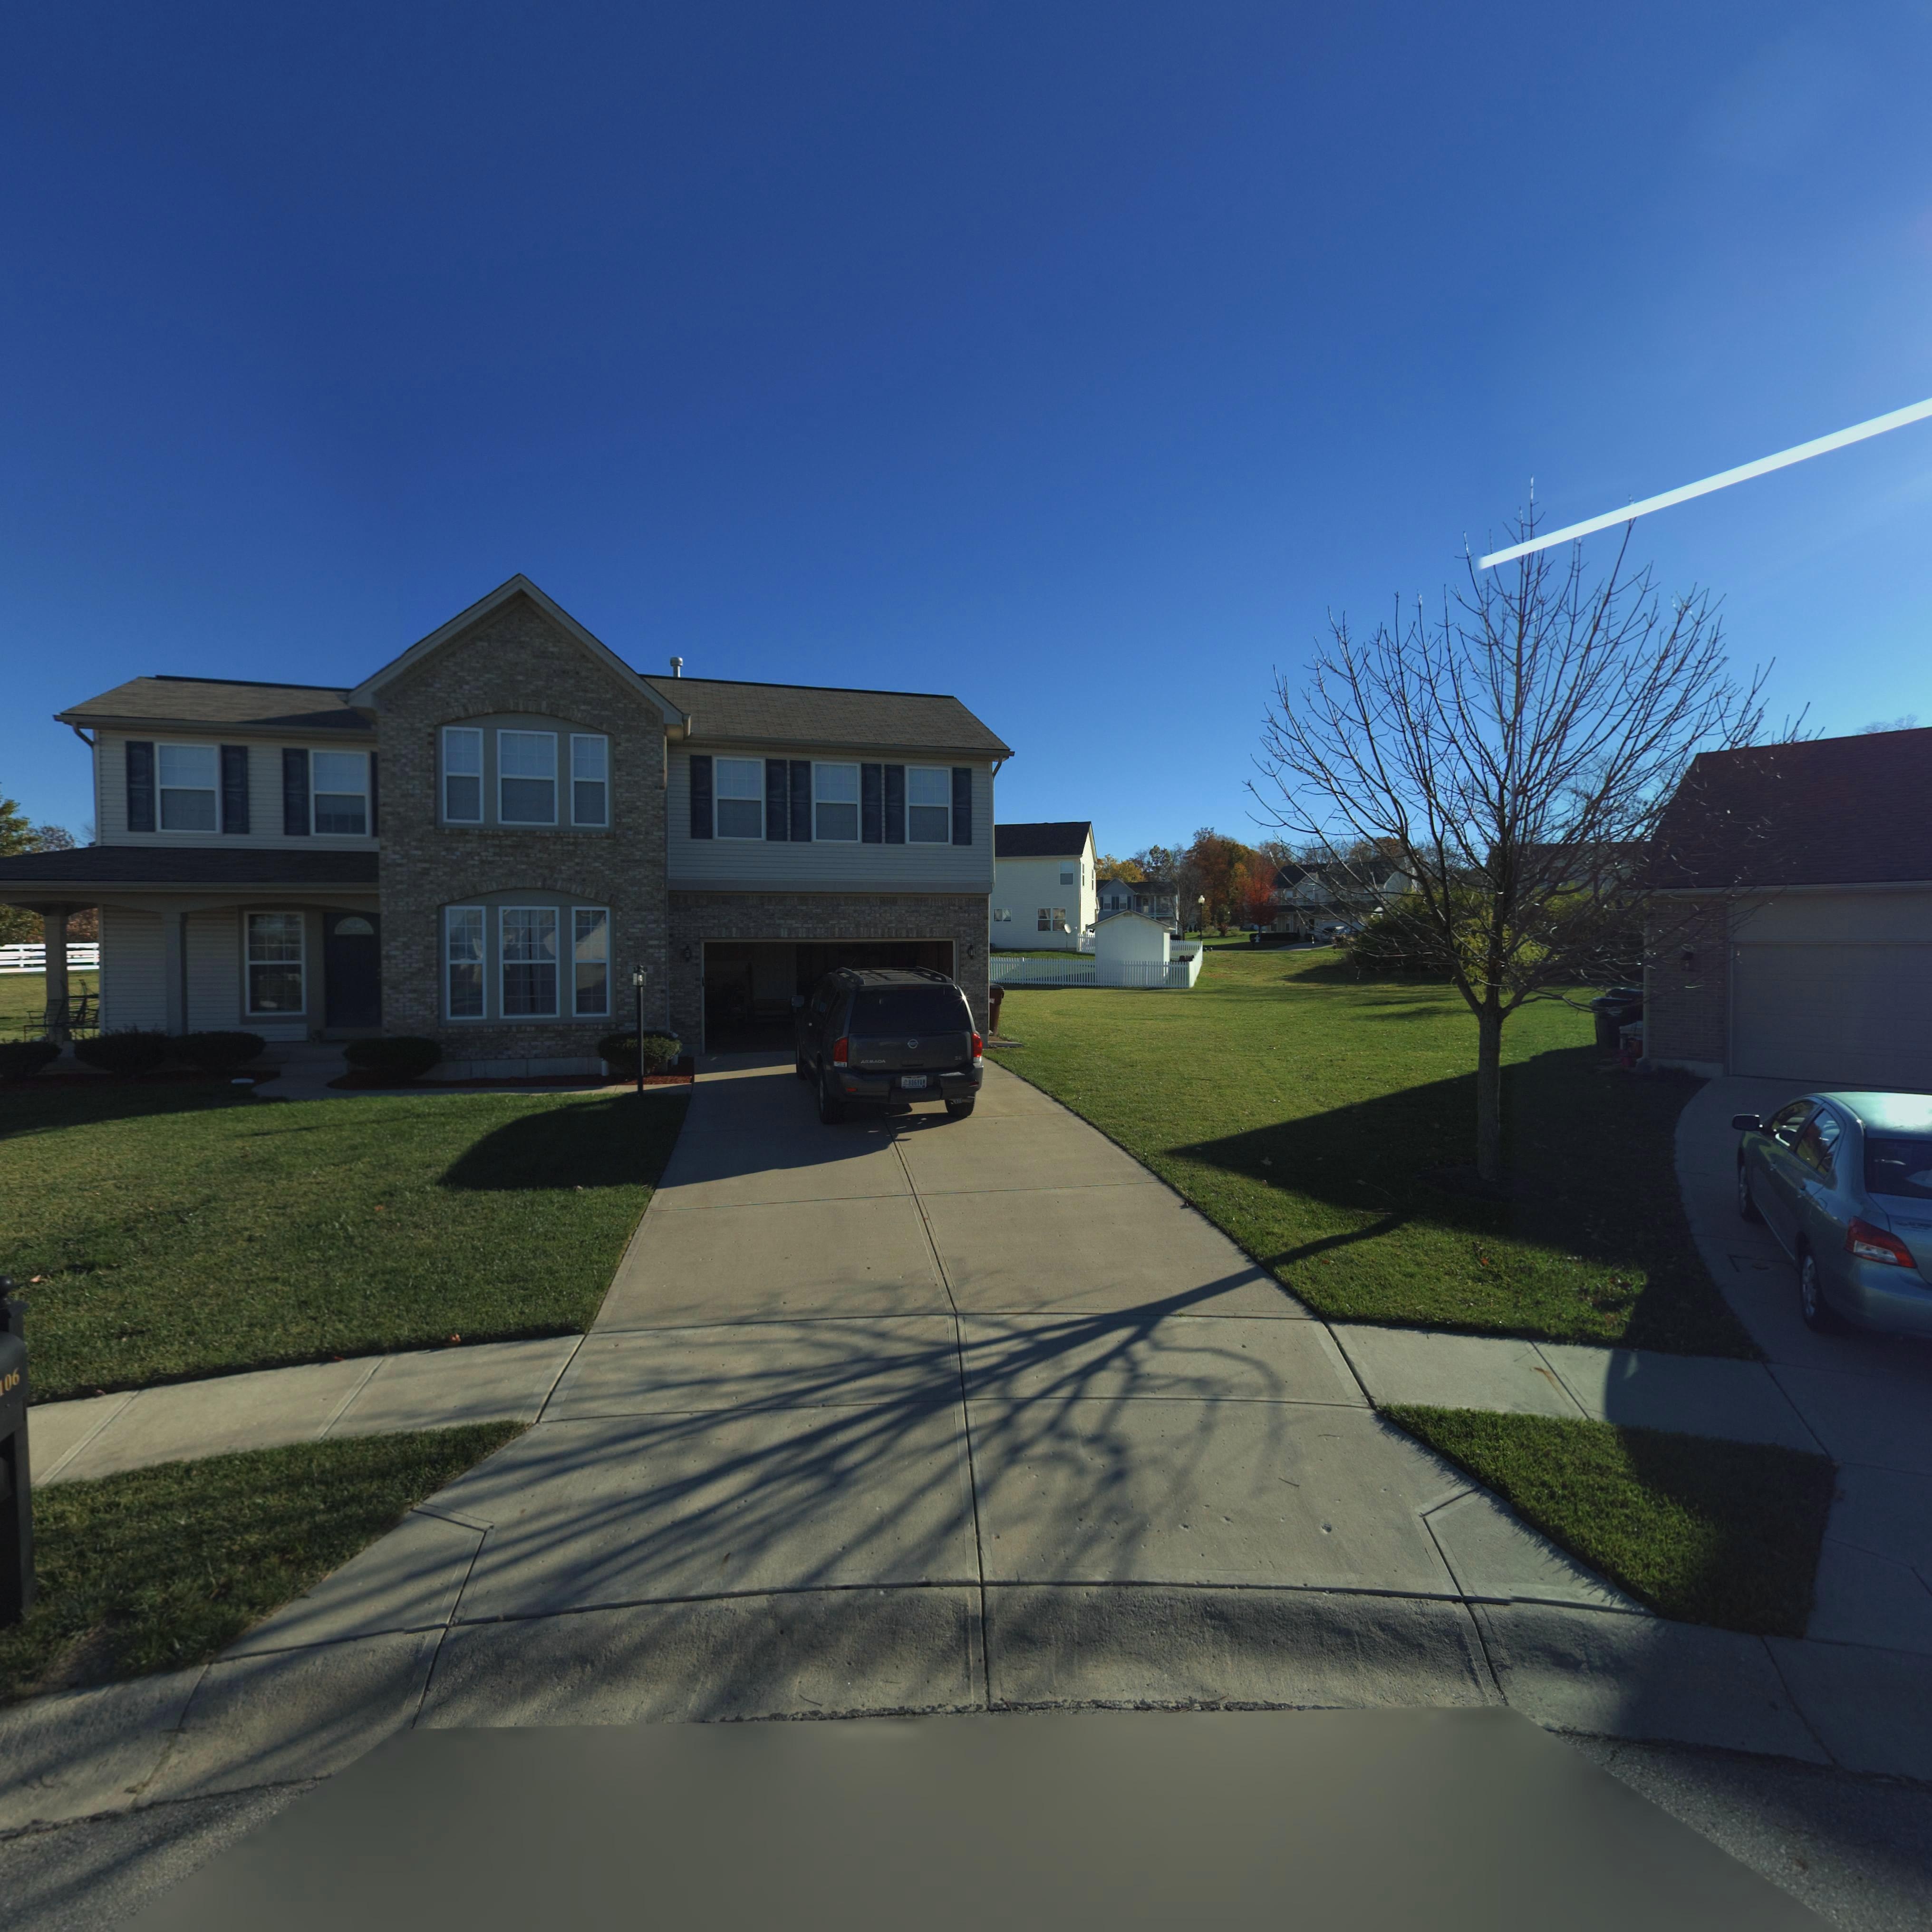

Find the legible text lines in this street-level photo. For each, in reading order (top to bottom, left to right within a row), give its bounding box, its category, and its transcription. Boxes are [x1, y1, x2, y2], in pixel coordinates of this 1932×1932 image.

[632, 965, 649, 974] StreetNumber: 1*6
[860, 1058, 886, 1064] None: ARMADA
[907, 1078, 926, 1086] None: 806***
[3, 1365, 21, 1393] StreetNumber: 06